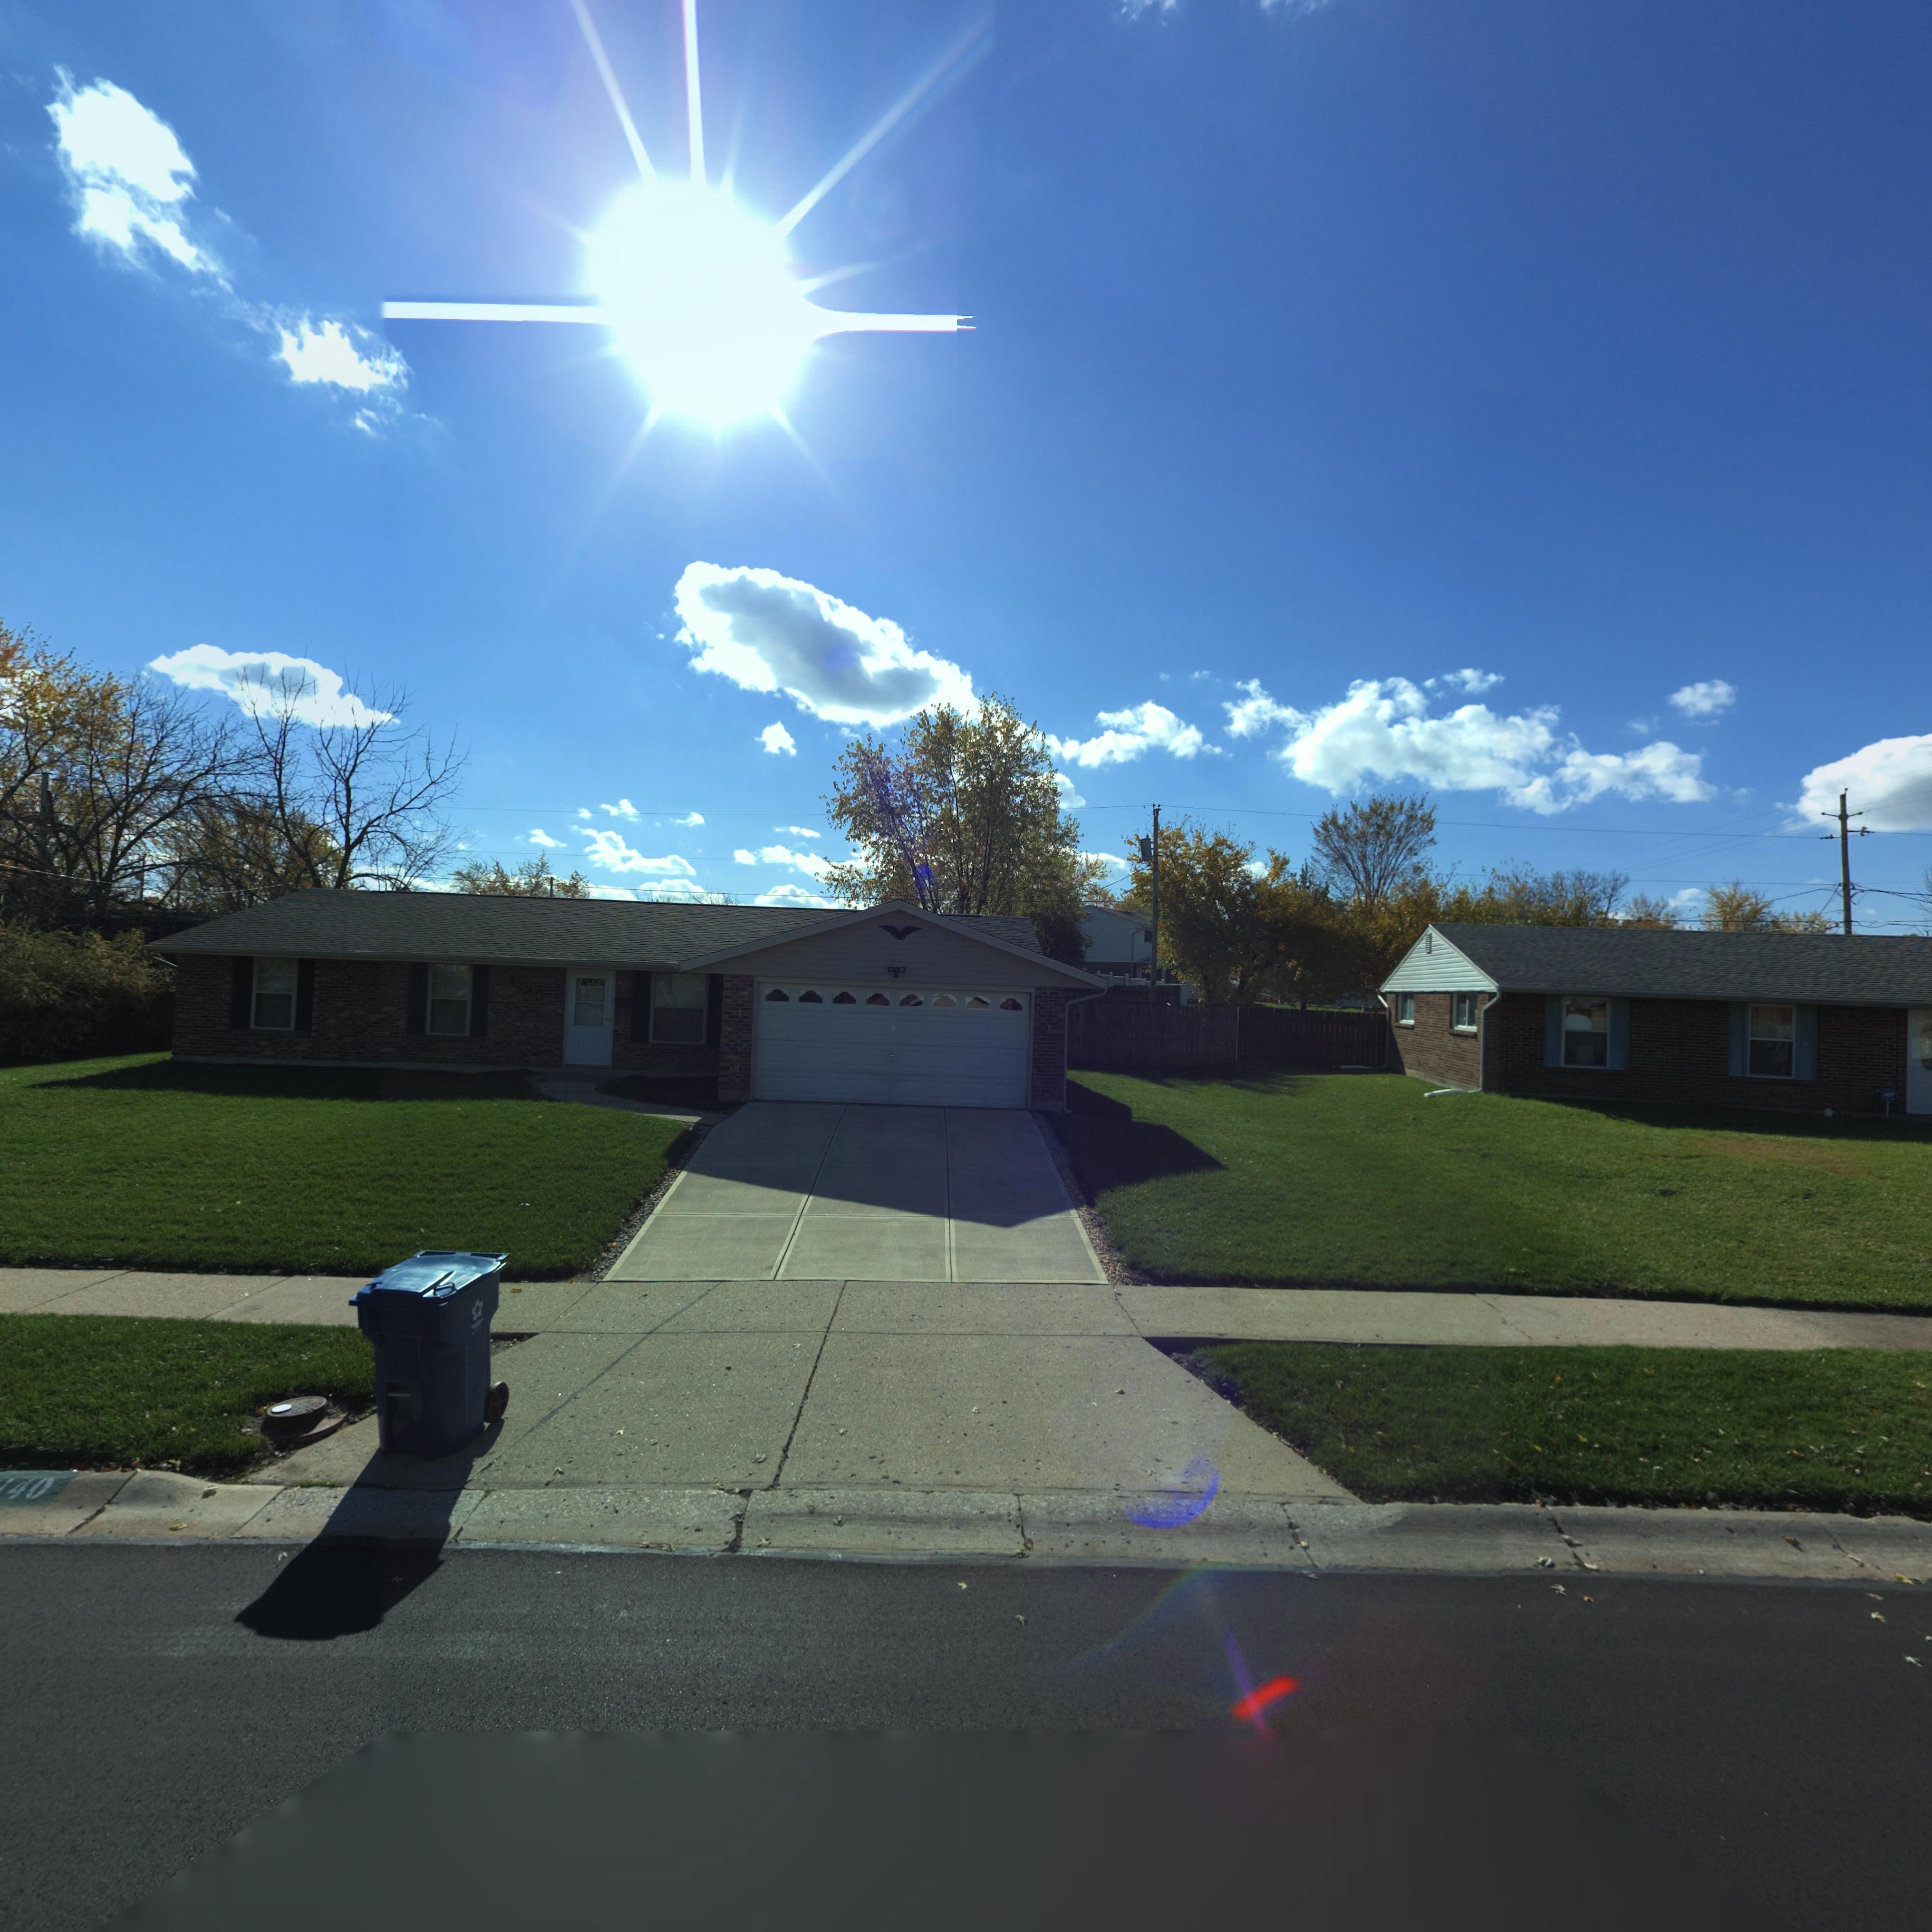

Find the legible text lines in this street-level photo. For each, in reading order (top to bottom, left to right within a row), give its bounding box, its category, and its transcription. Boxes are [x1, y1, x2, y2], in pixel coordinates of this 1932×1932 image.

[507, 975, 545, 1004] StreetNumber: 7**0
[6, 1475, 57, 1502] StreetNumber: 40